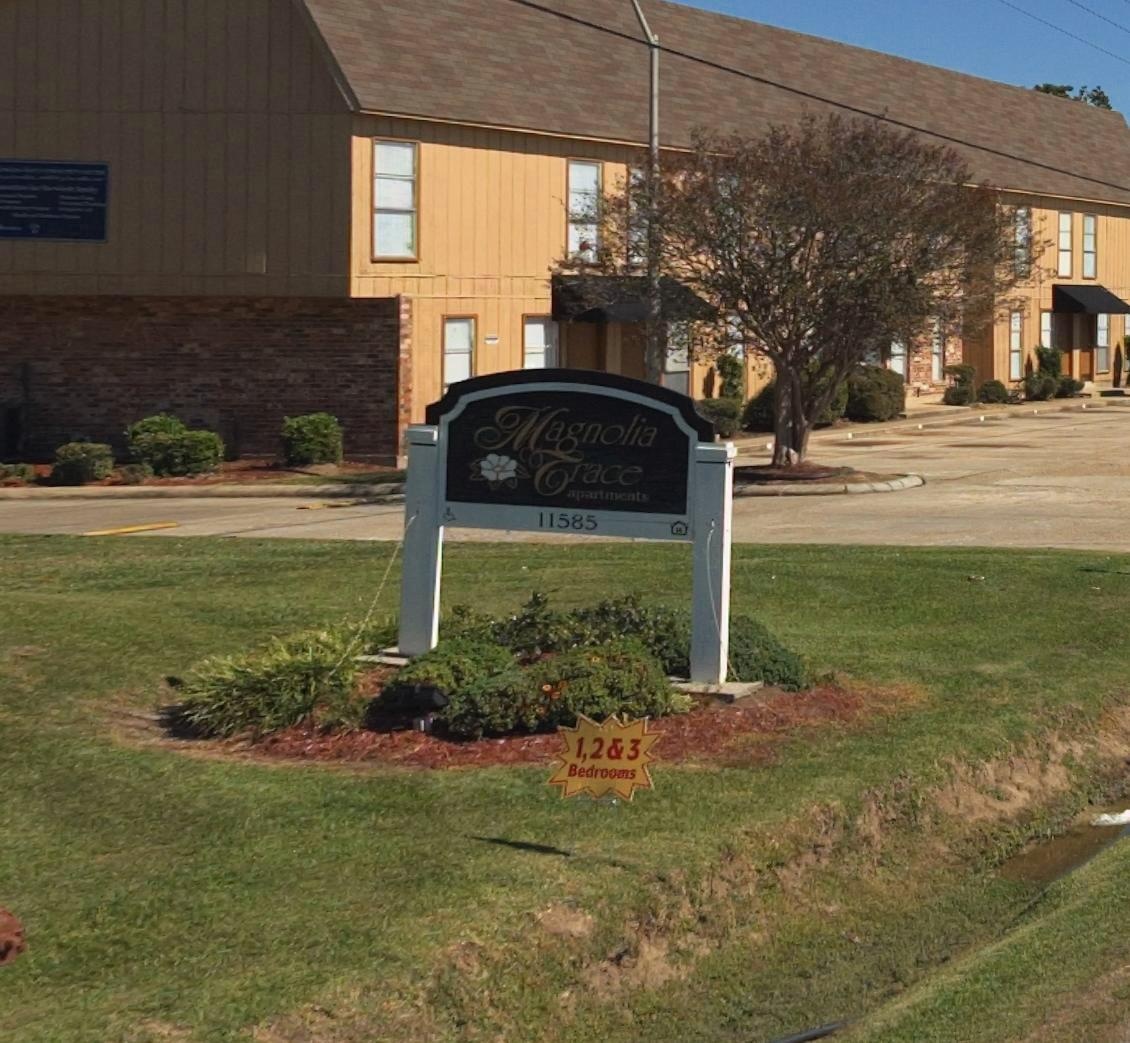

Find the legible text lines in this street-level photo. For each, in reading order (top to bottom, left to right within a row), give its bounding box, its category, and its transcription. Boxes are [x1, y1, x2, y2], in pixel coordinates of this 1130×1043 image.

[471, 402, 660, 456] None: Magnolia
[518, 442, 649, 498] None: Grace
[566, 489, 650, 503] None: apartments
[537, 511, 599, 531] StreetNumber: 11585
[575, 735, 643, 764] None: 1,2&3
[566, 763, 636, 781] None: Bedrooms